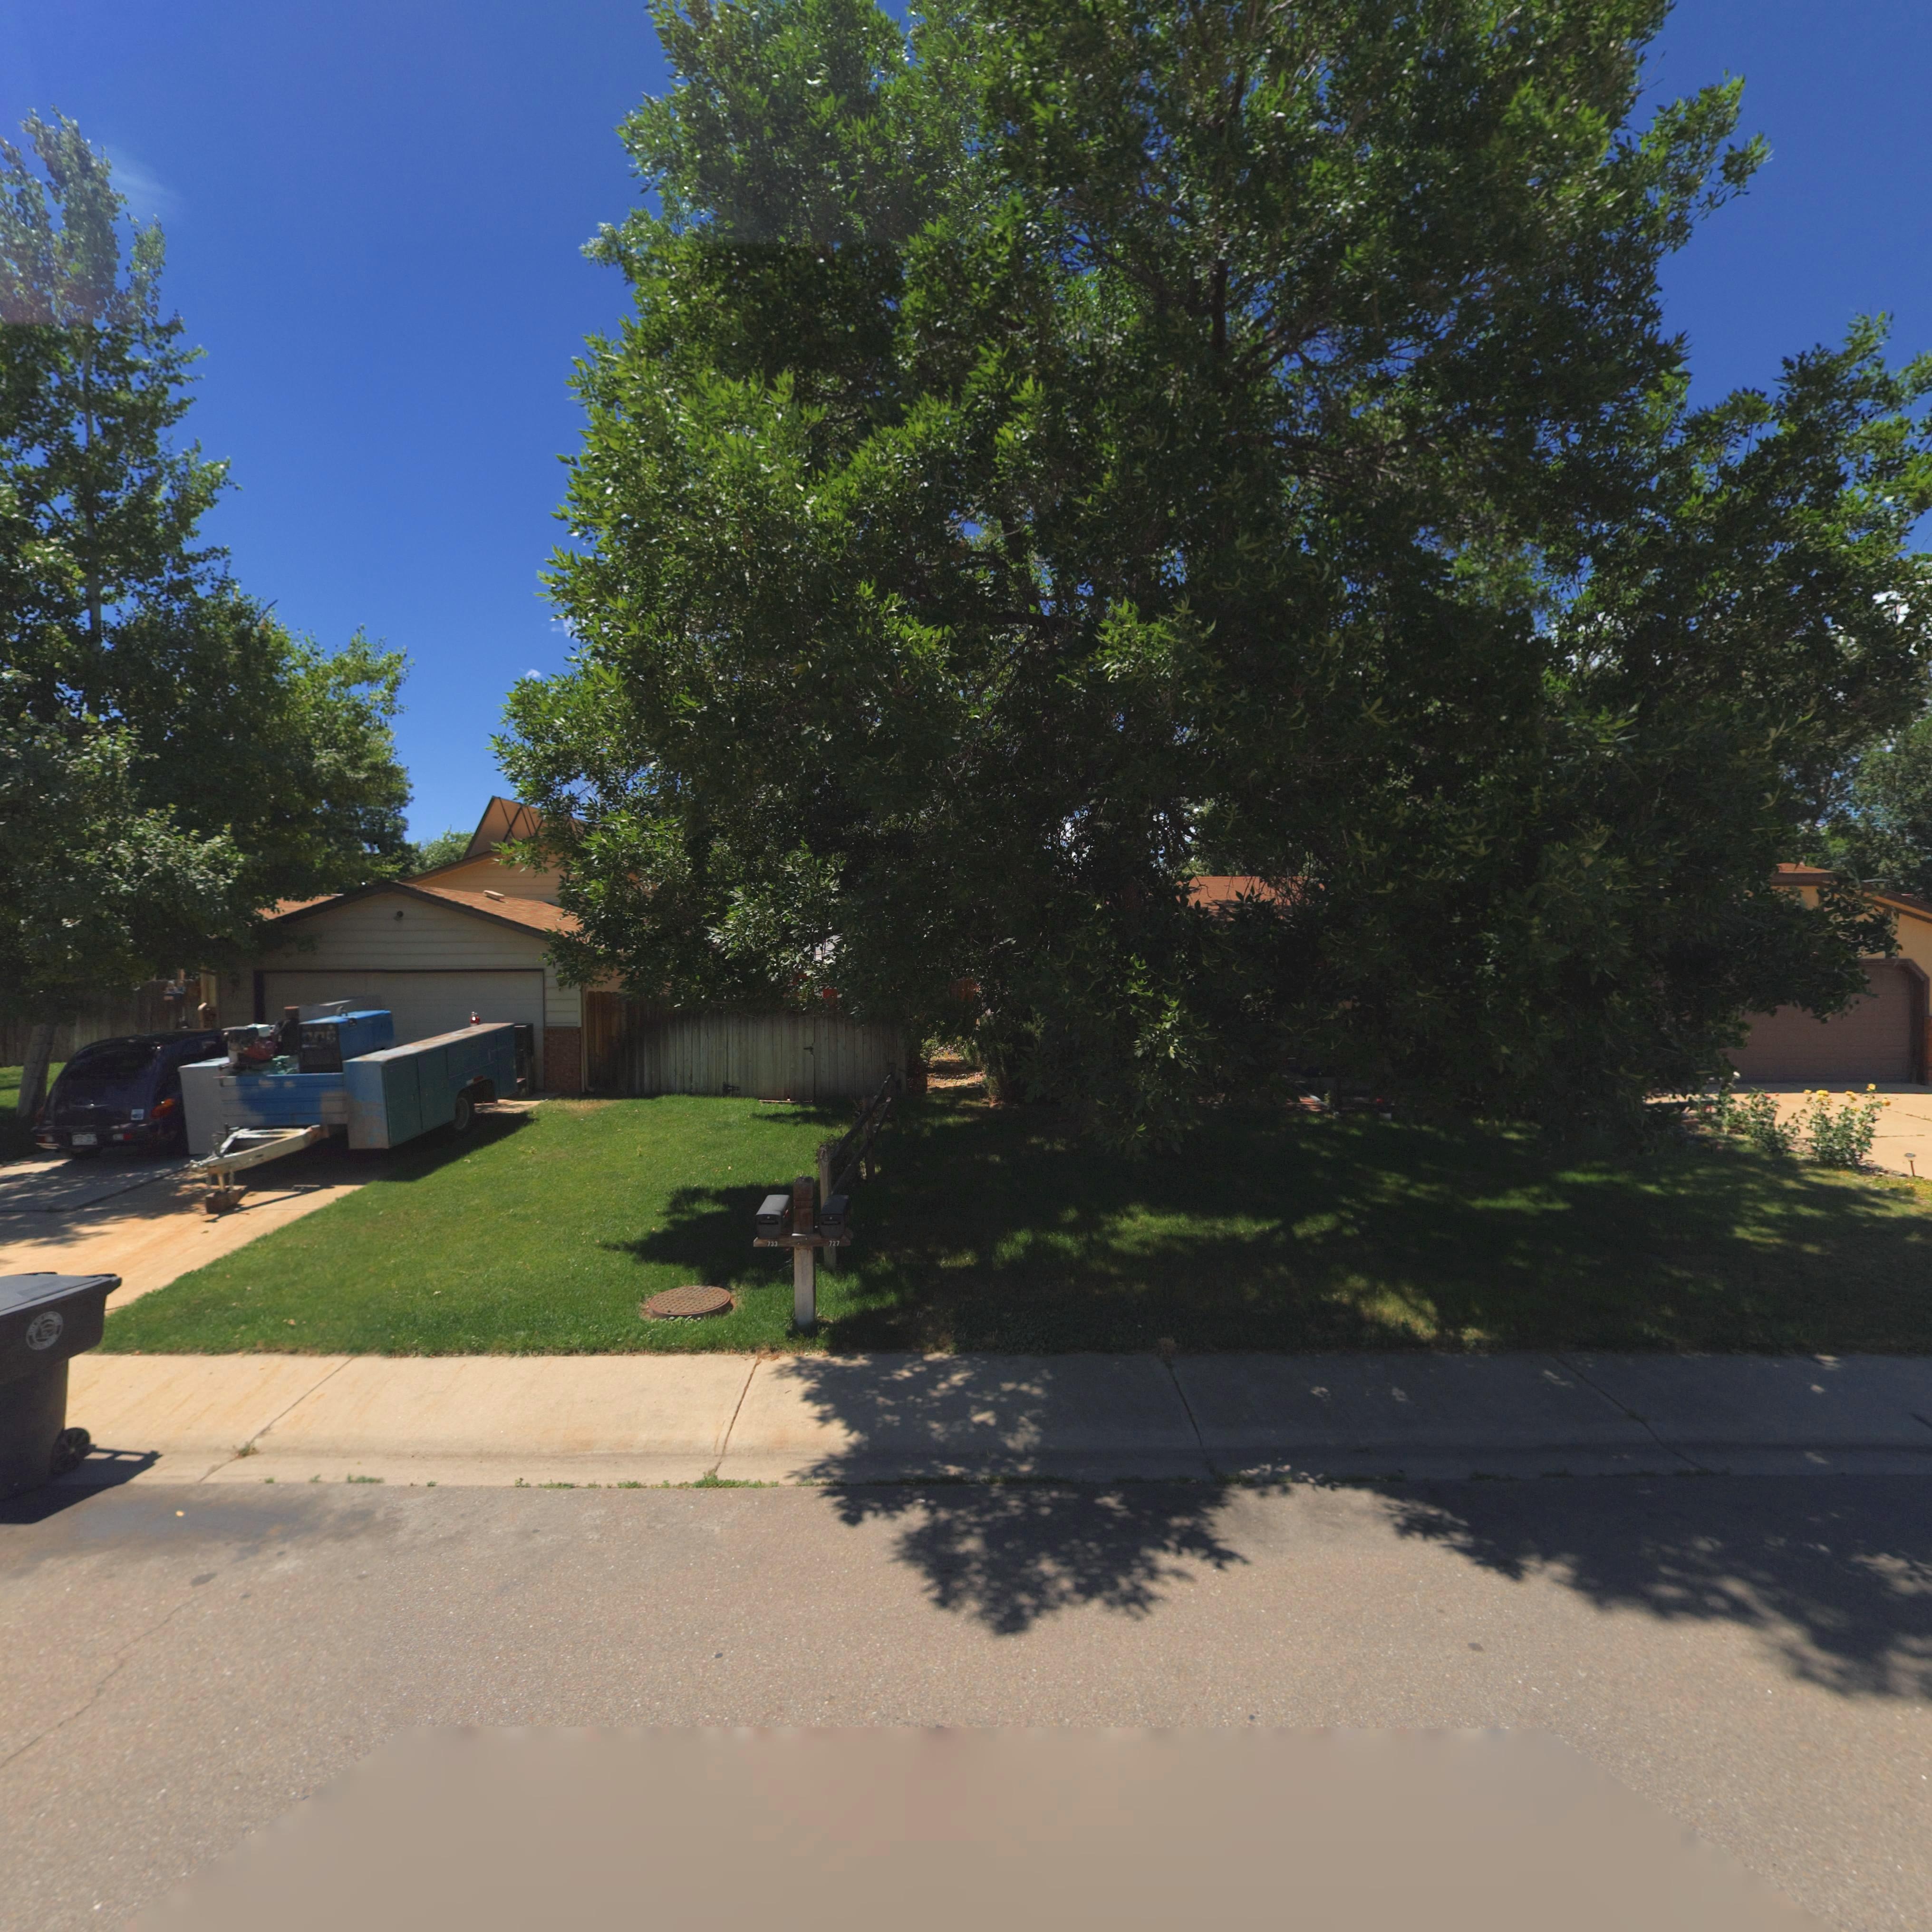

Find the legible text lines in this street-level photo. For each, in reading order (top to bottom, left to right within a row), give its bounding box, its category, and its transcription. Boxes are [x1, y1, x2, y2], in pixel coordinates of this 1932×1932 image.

[767, 1241, 777, 1246] StreetNumber: 733
[828, 1240, 840, 1246] StreetNumber: 727